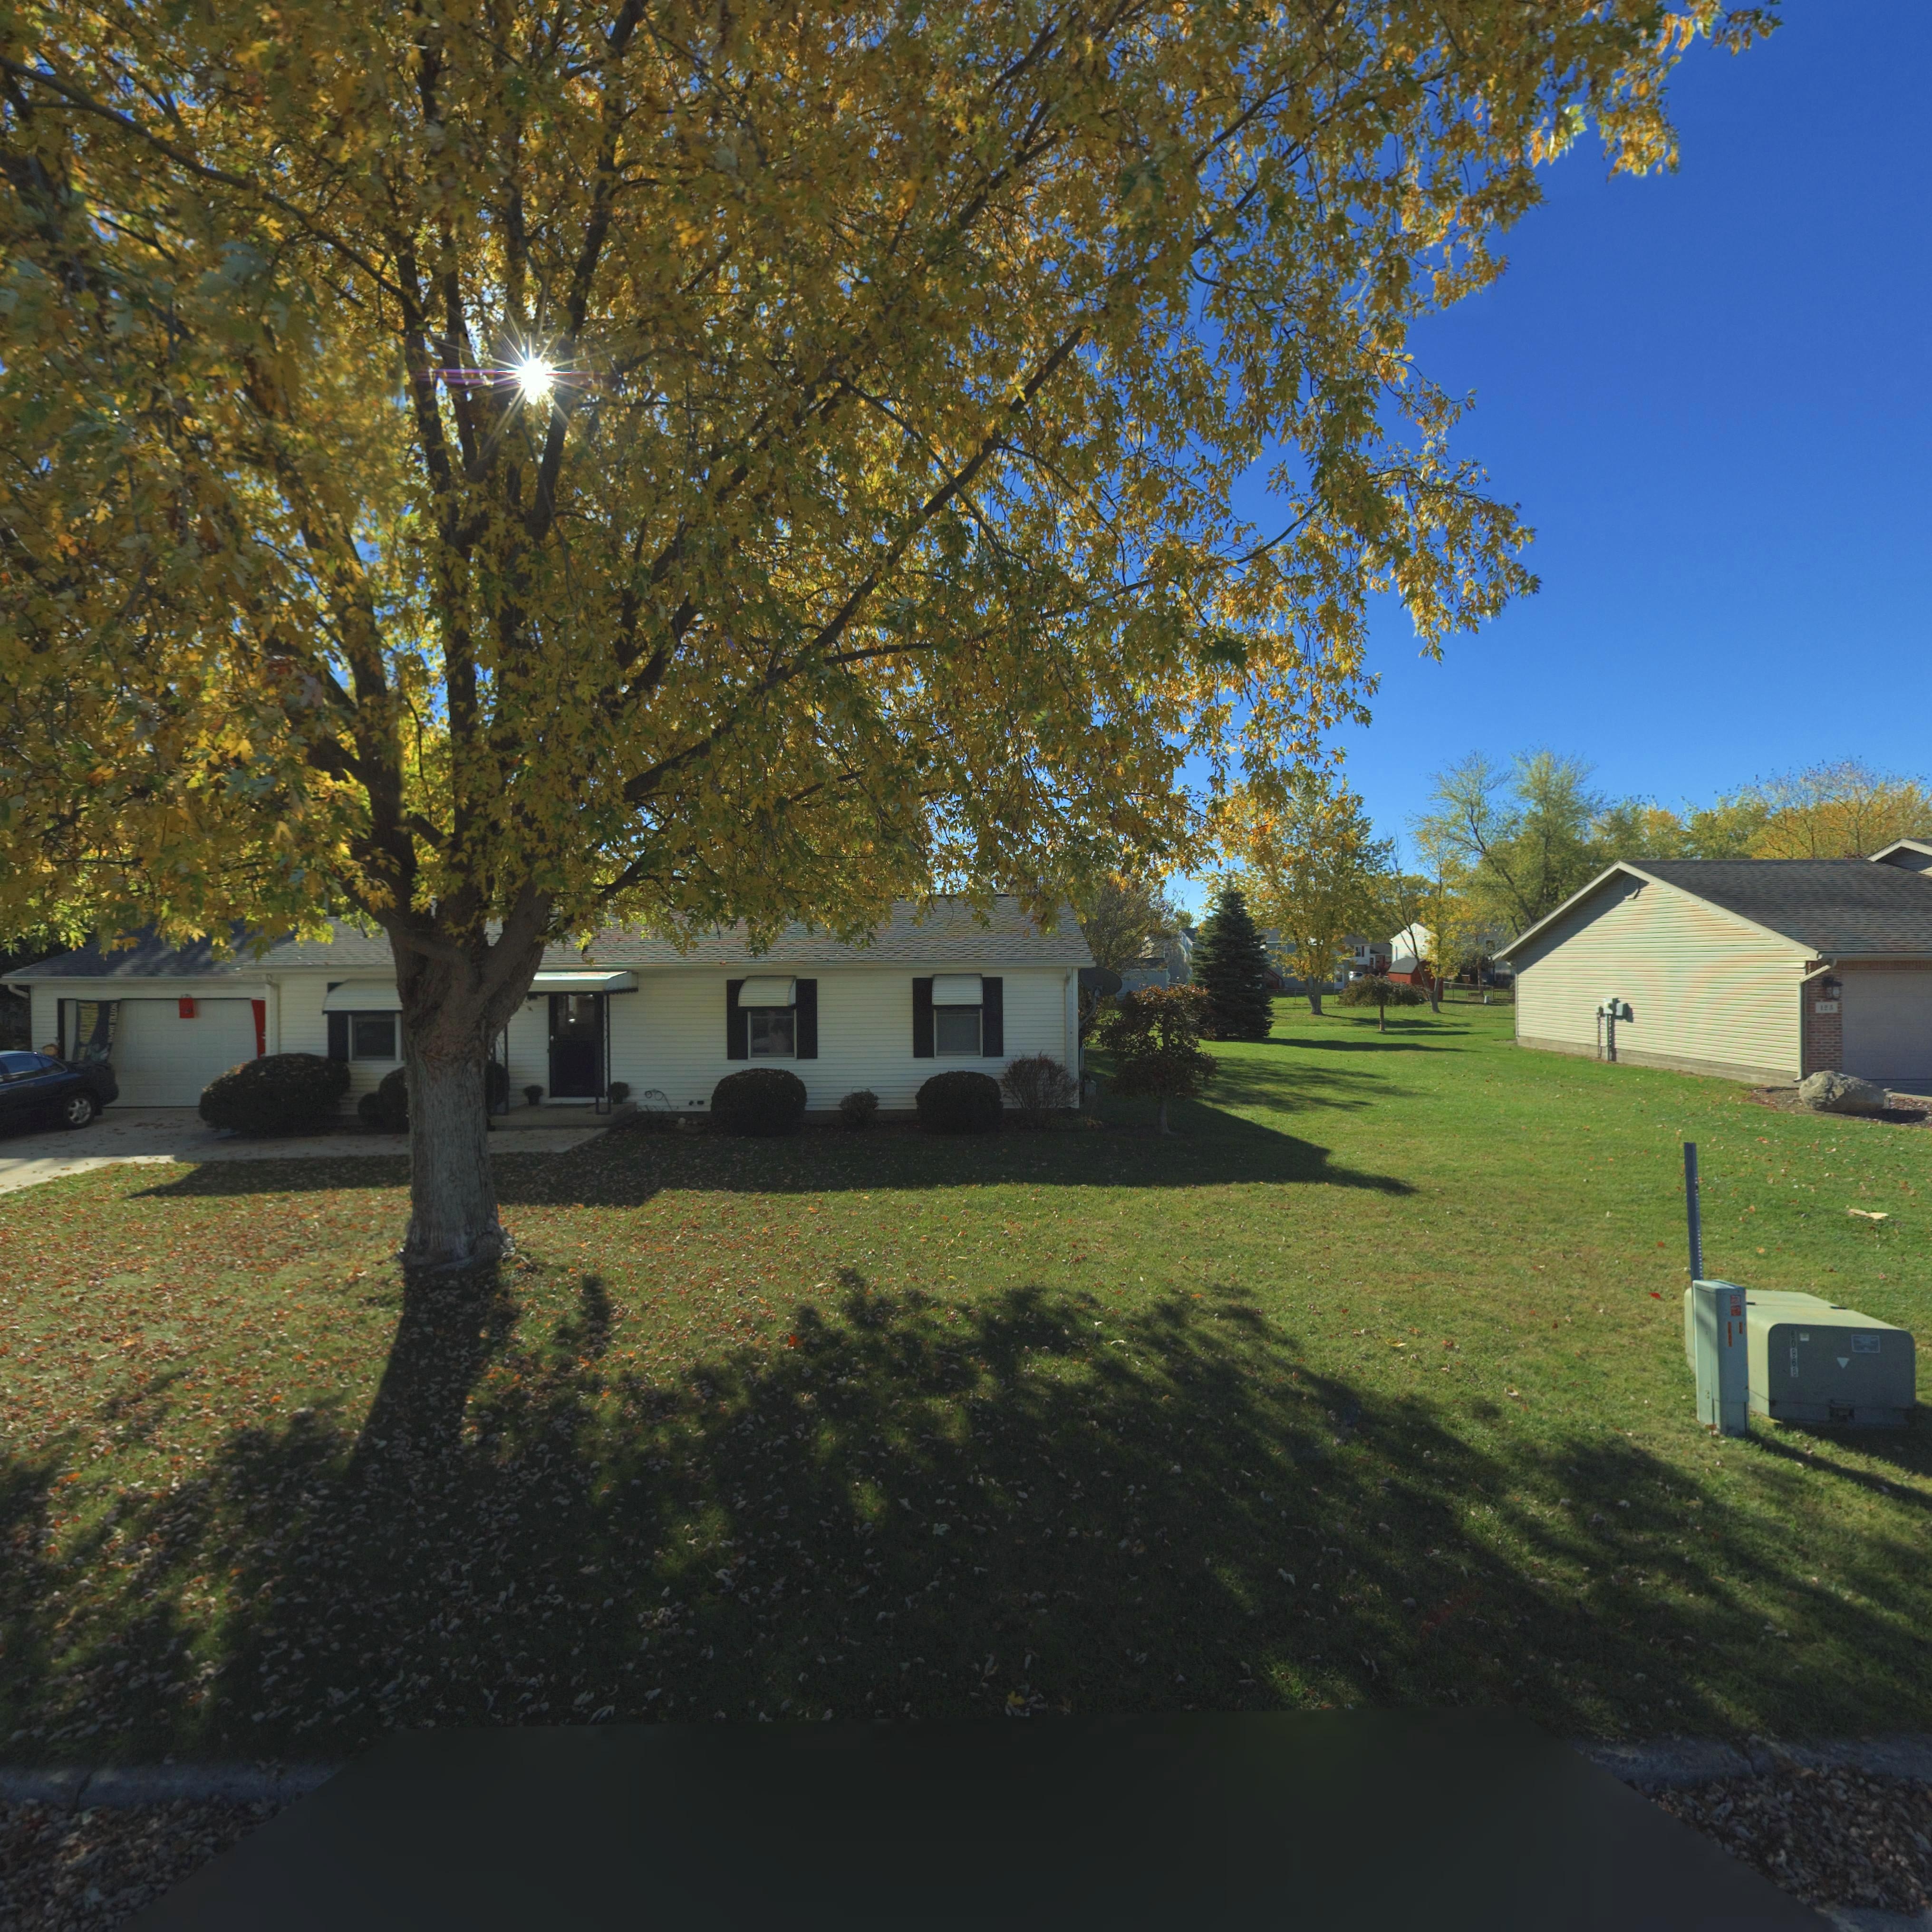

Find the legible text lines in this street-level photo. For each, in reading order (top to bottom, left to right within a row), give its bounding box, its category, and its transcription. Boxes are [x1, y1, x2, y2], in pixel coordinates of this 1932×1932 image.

[1819, 1004, 1834, 1011] StreetNumber: 123